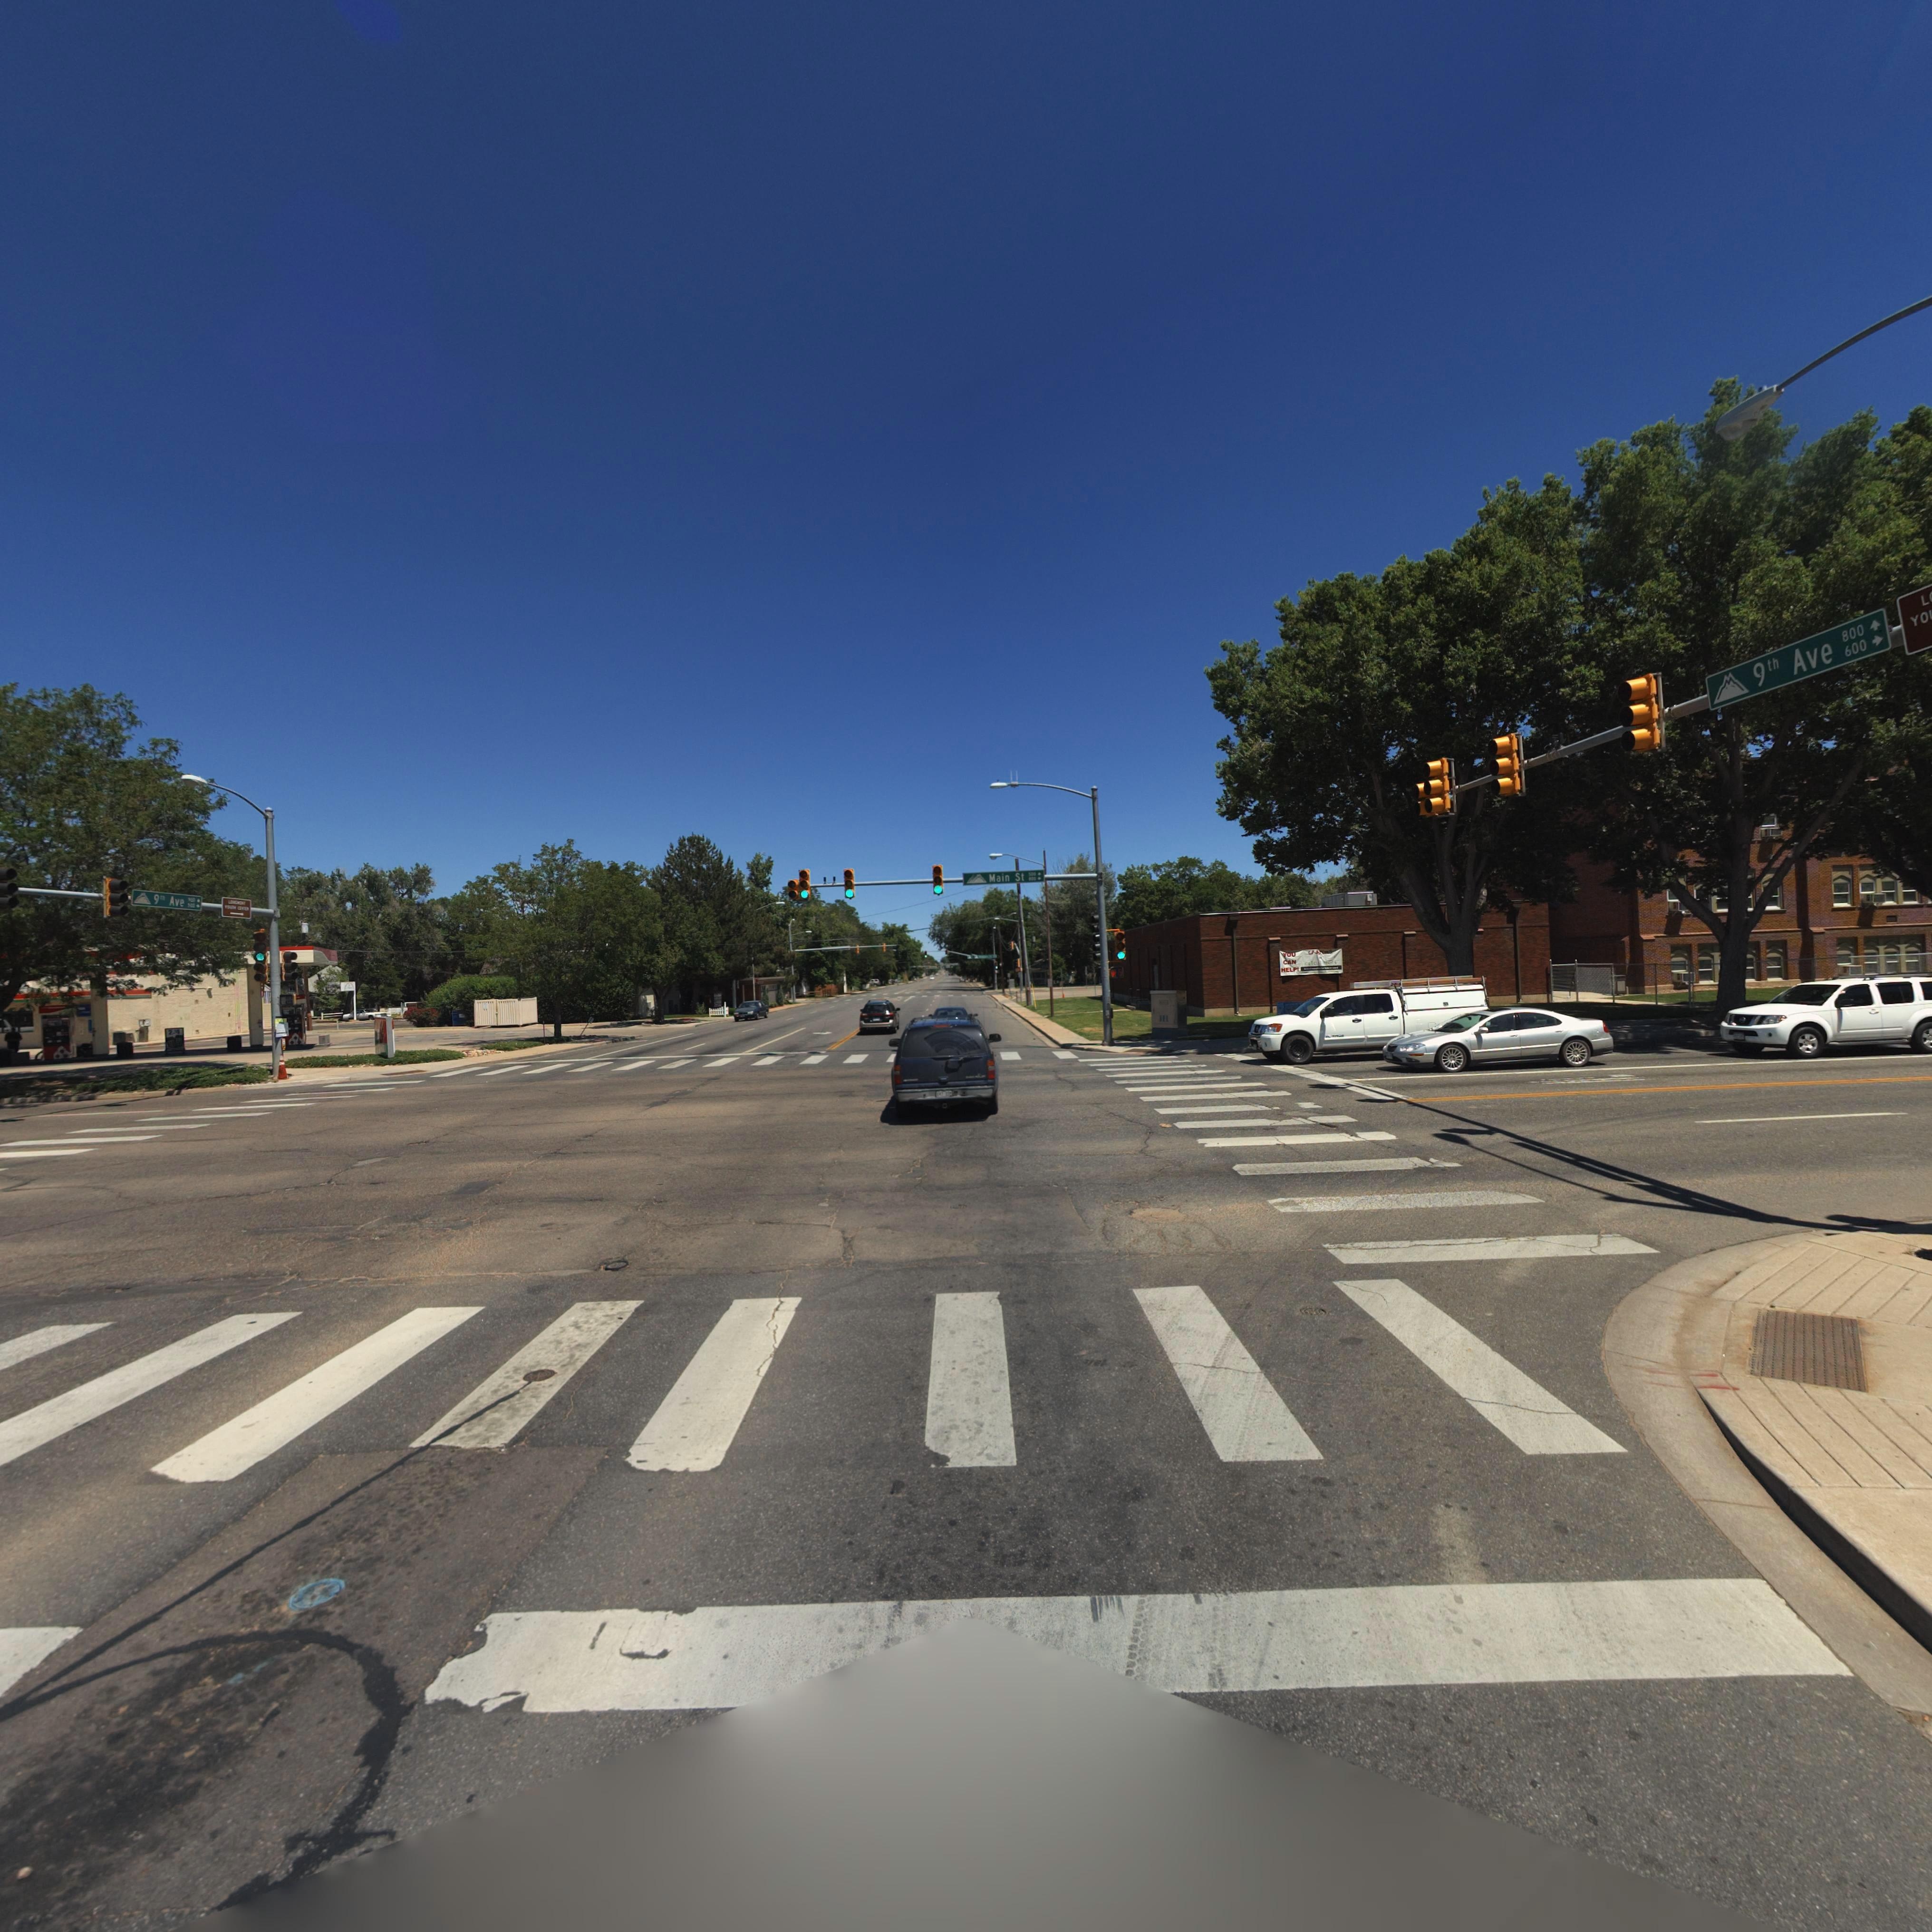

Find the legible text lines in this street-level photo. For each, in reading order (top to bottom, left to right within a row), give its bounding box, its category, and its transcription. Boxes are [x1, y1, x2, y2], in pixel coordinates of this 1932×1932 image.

[1841, 623, 1864, 643] StreetNumberRange: 800
[1844, 634, 1884, 657] StreetNumberRange: 600 ->
[1752, 642, 1833, 687] StreetName: 9th Ave
[988, 872, 1024, 882] StreetName: Main St
[1028, 871, 1036, 876] StreetNumberRange: 500
[1028, 876, 1042, 881] StreetNumberRange: 800 ->
[153, 893, 185, 908] StreetName: 98h Ave
[187, 897, 196, 903] StreetNumberRange: 900
[186, 902, 201, 908] StreetNumberRange: 500 ->